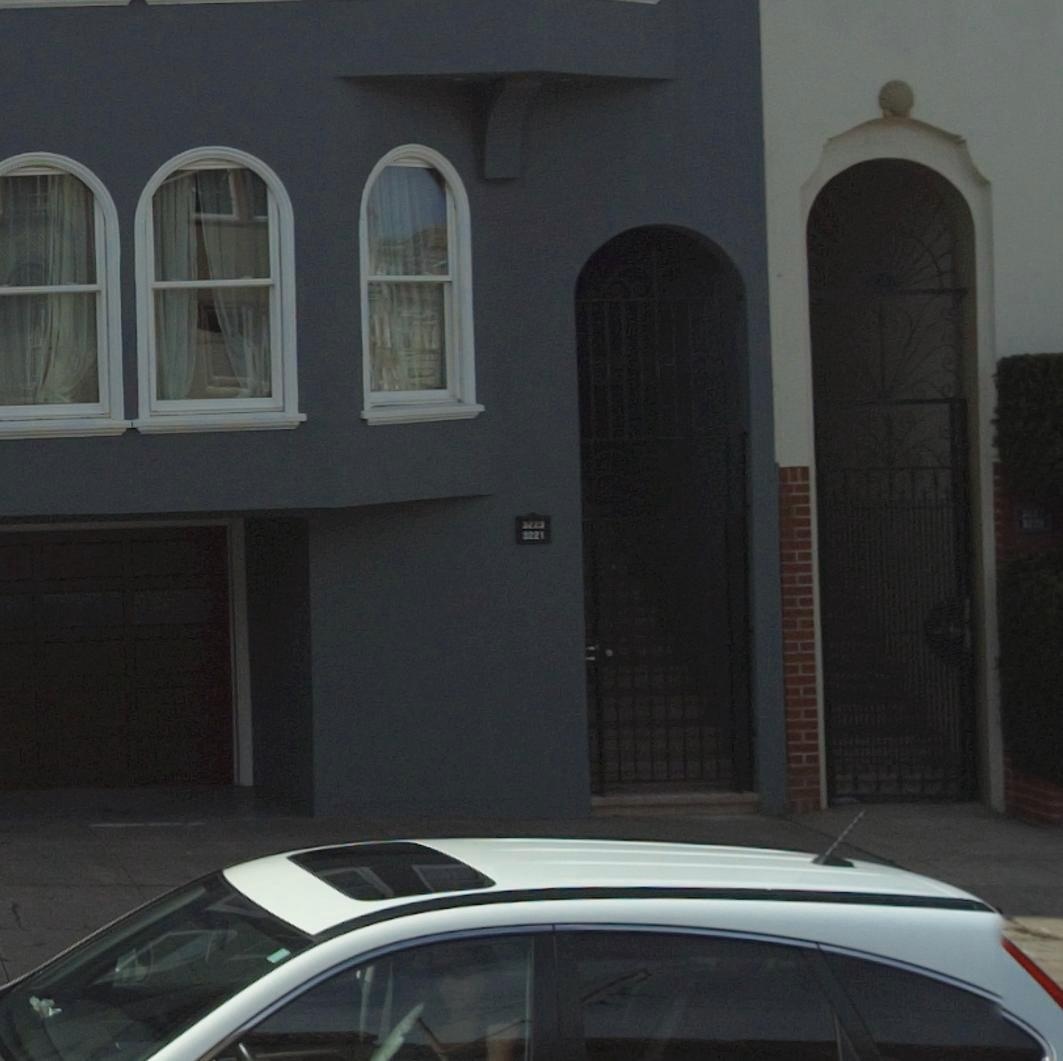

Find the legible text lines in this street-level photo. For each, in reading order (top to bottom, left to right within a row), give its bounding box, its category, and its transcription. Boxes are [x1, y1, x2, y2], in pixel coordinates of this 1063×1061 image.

[520, 519, 547, 531] StreetNumber: 3223
[520, 530, 547, 542] StreetNumber: 3221